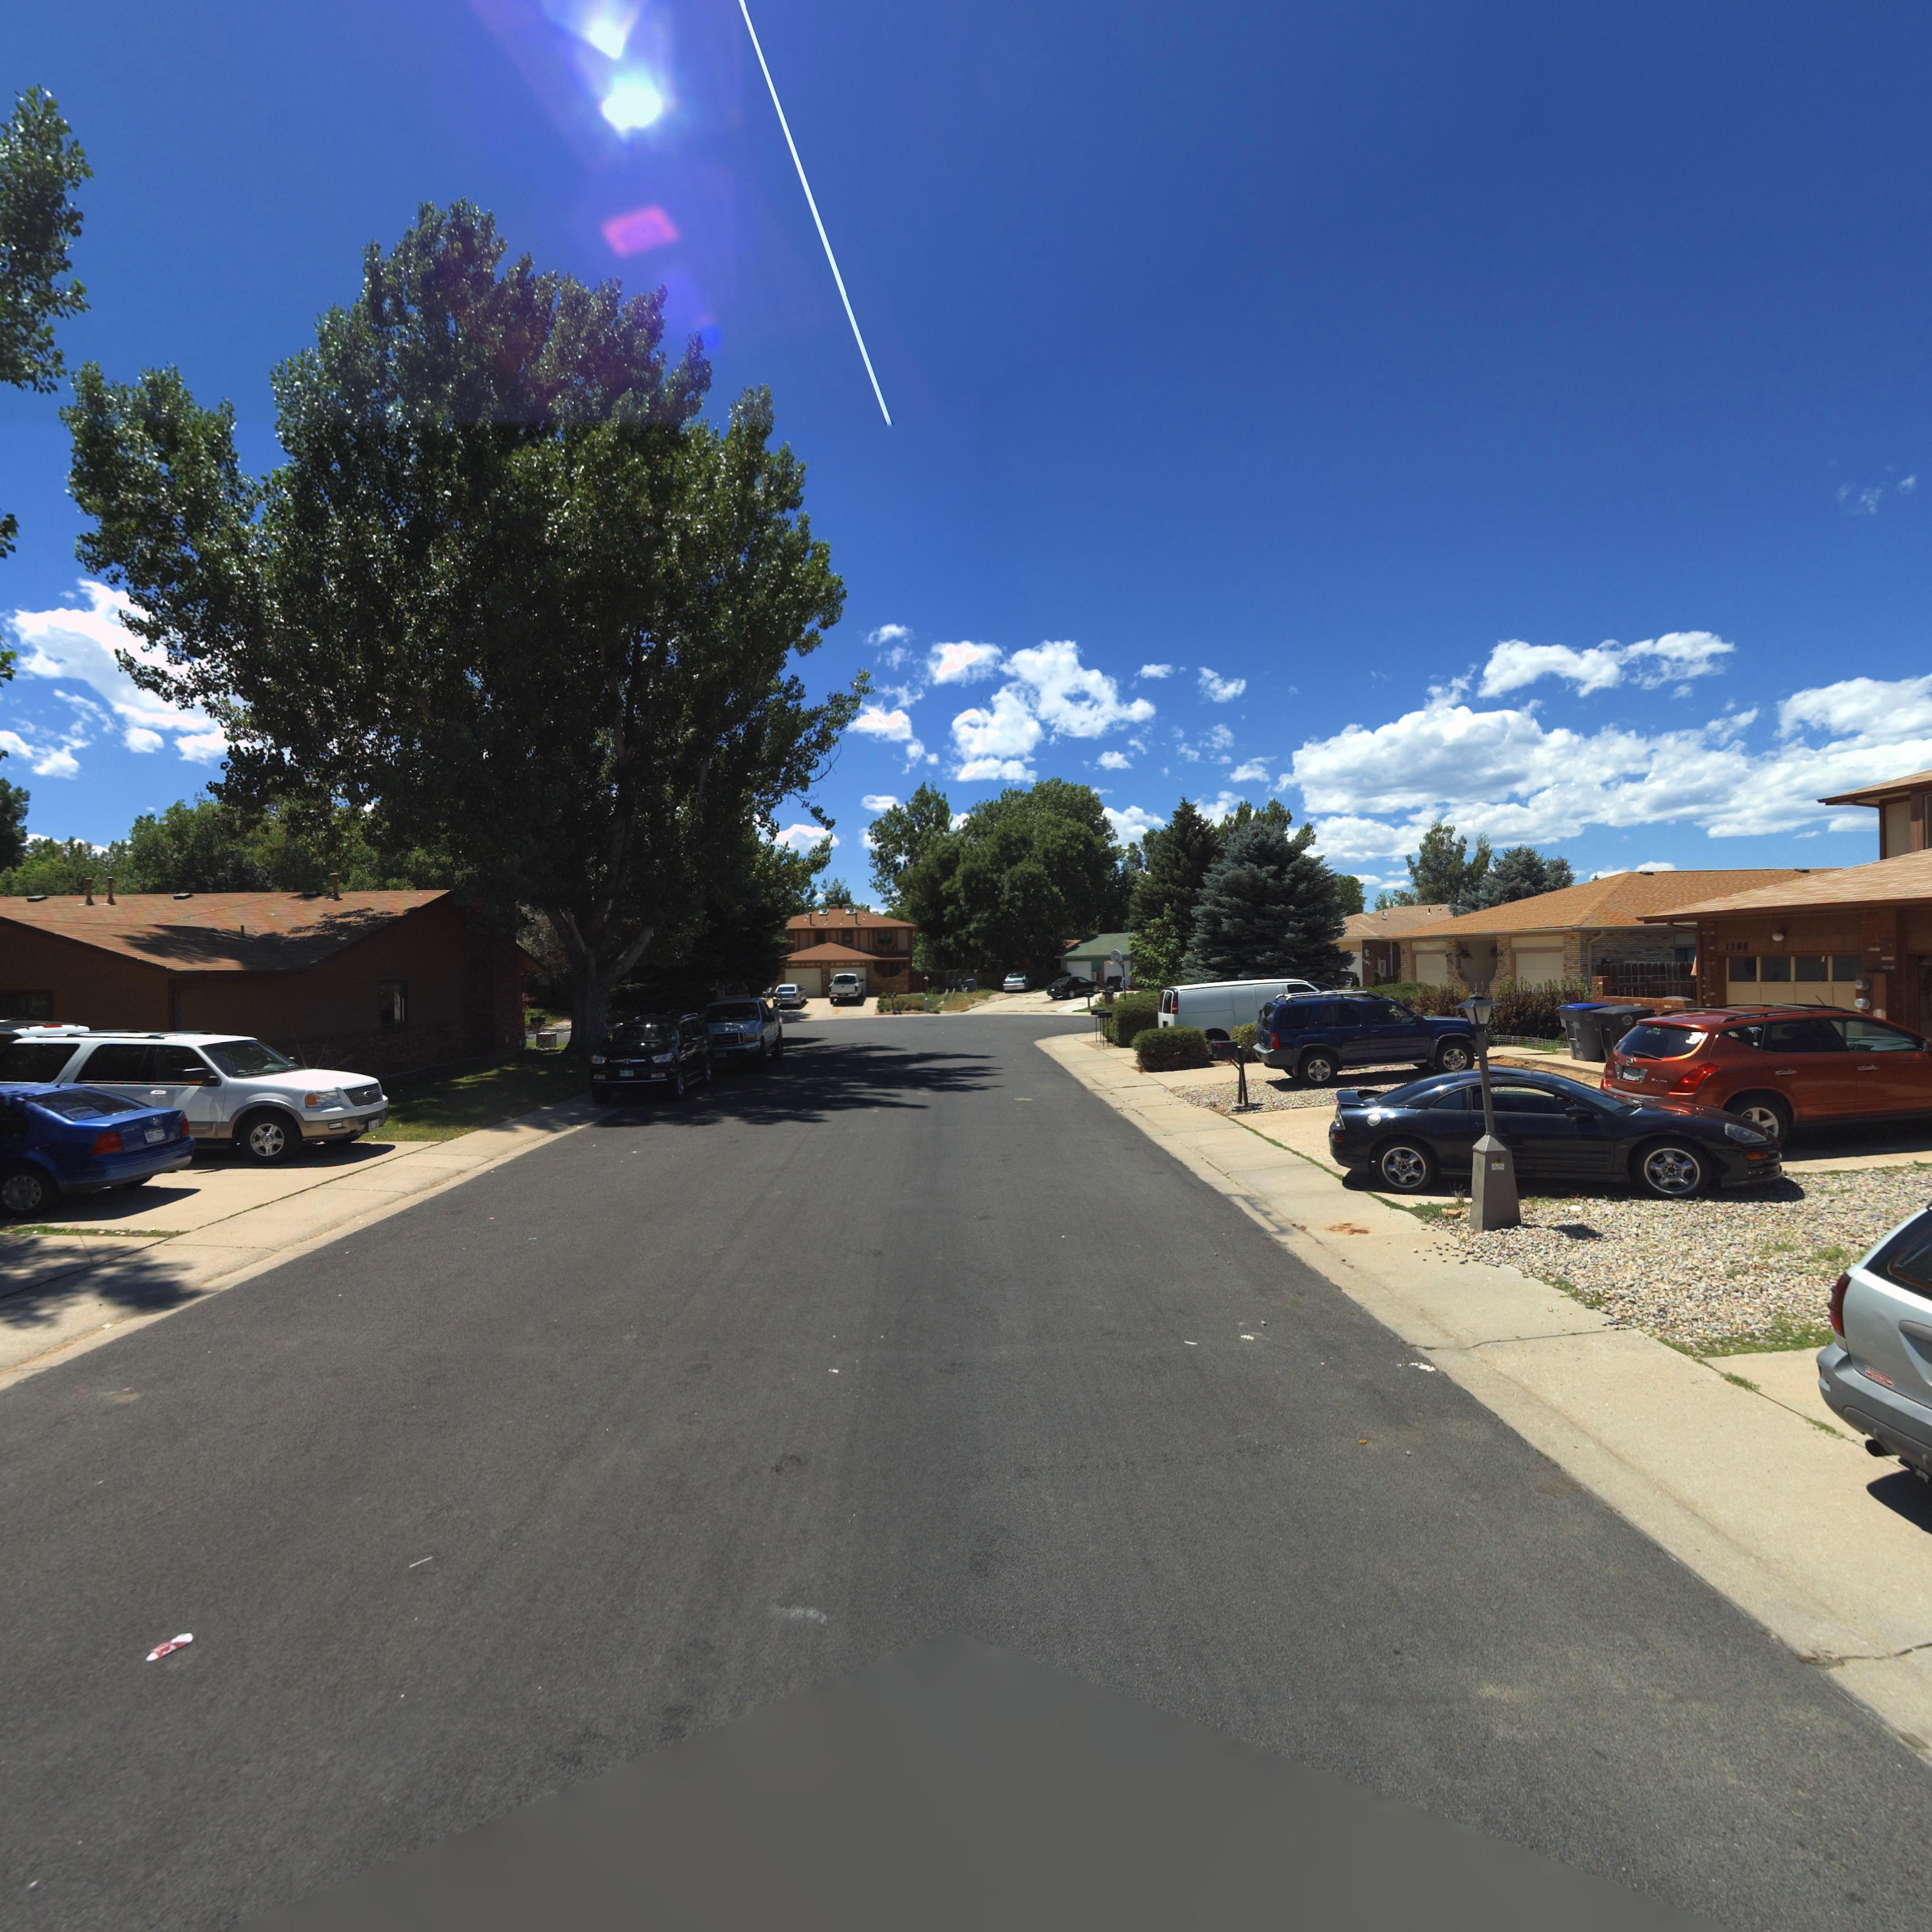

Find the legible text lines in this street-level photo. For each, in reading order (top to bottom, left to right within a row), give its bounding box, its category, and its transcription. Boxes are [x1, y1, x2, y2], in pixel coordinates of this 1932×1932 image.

[1725, 941, 1749, 951] StreetNumber: 1308
[1362, 957, 1370, 966] StreetNumber: 1*1